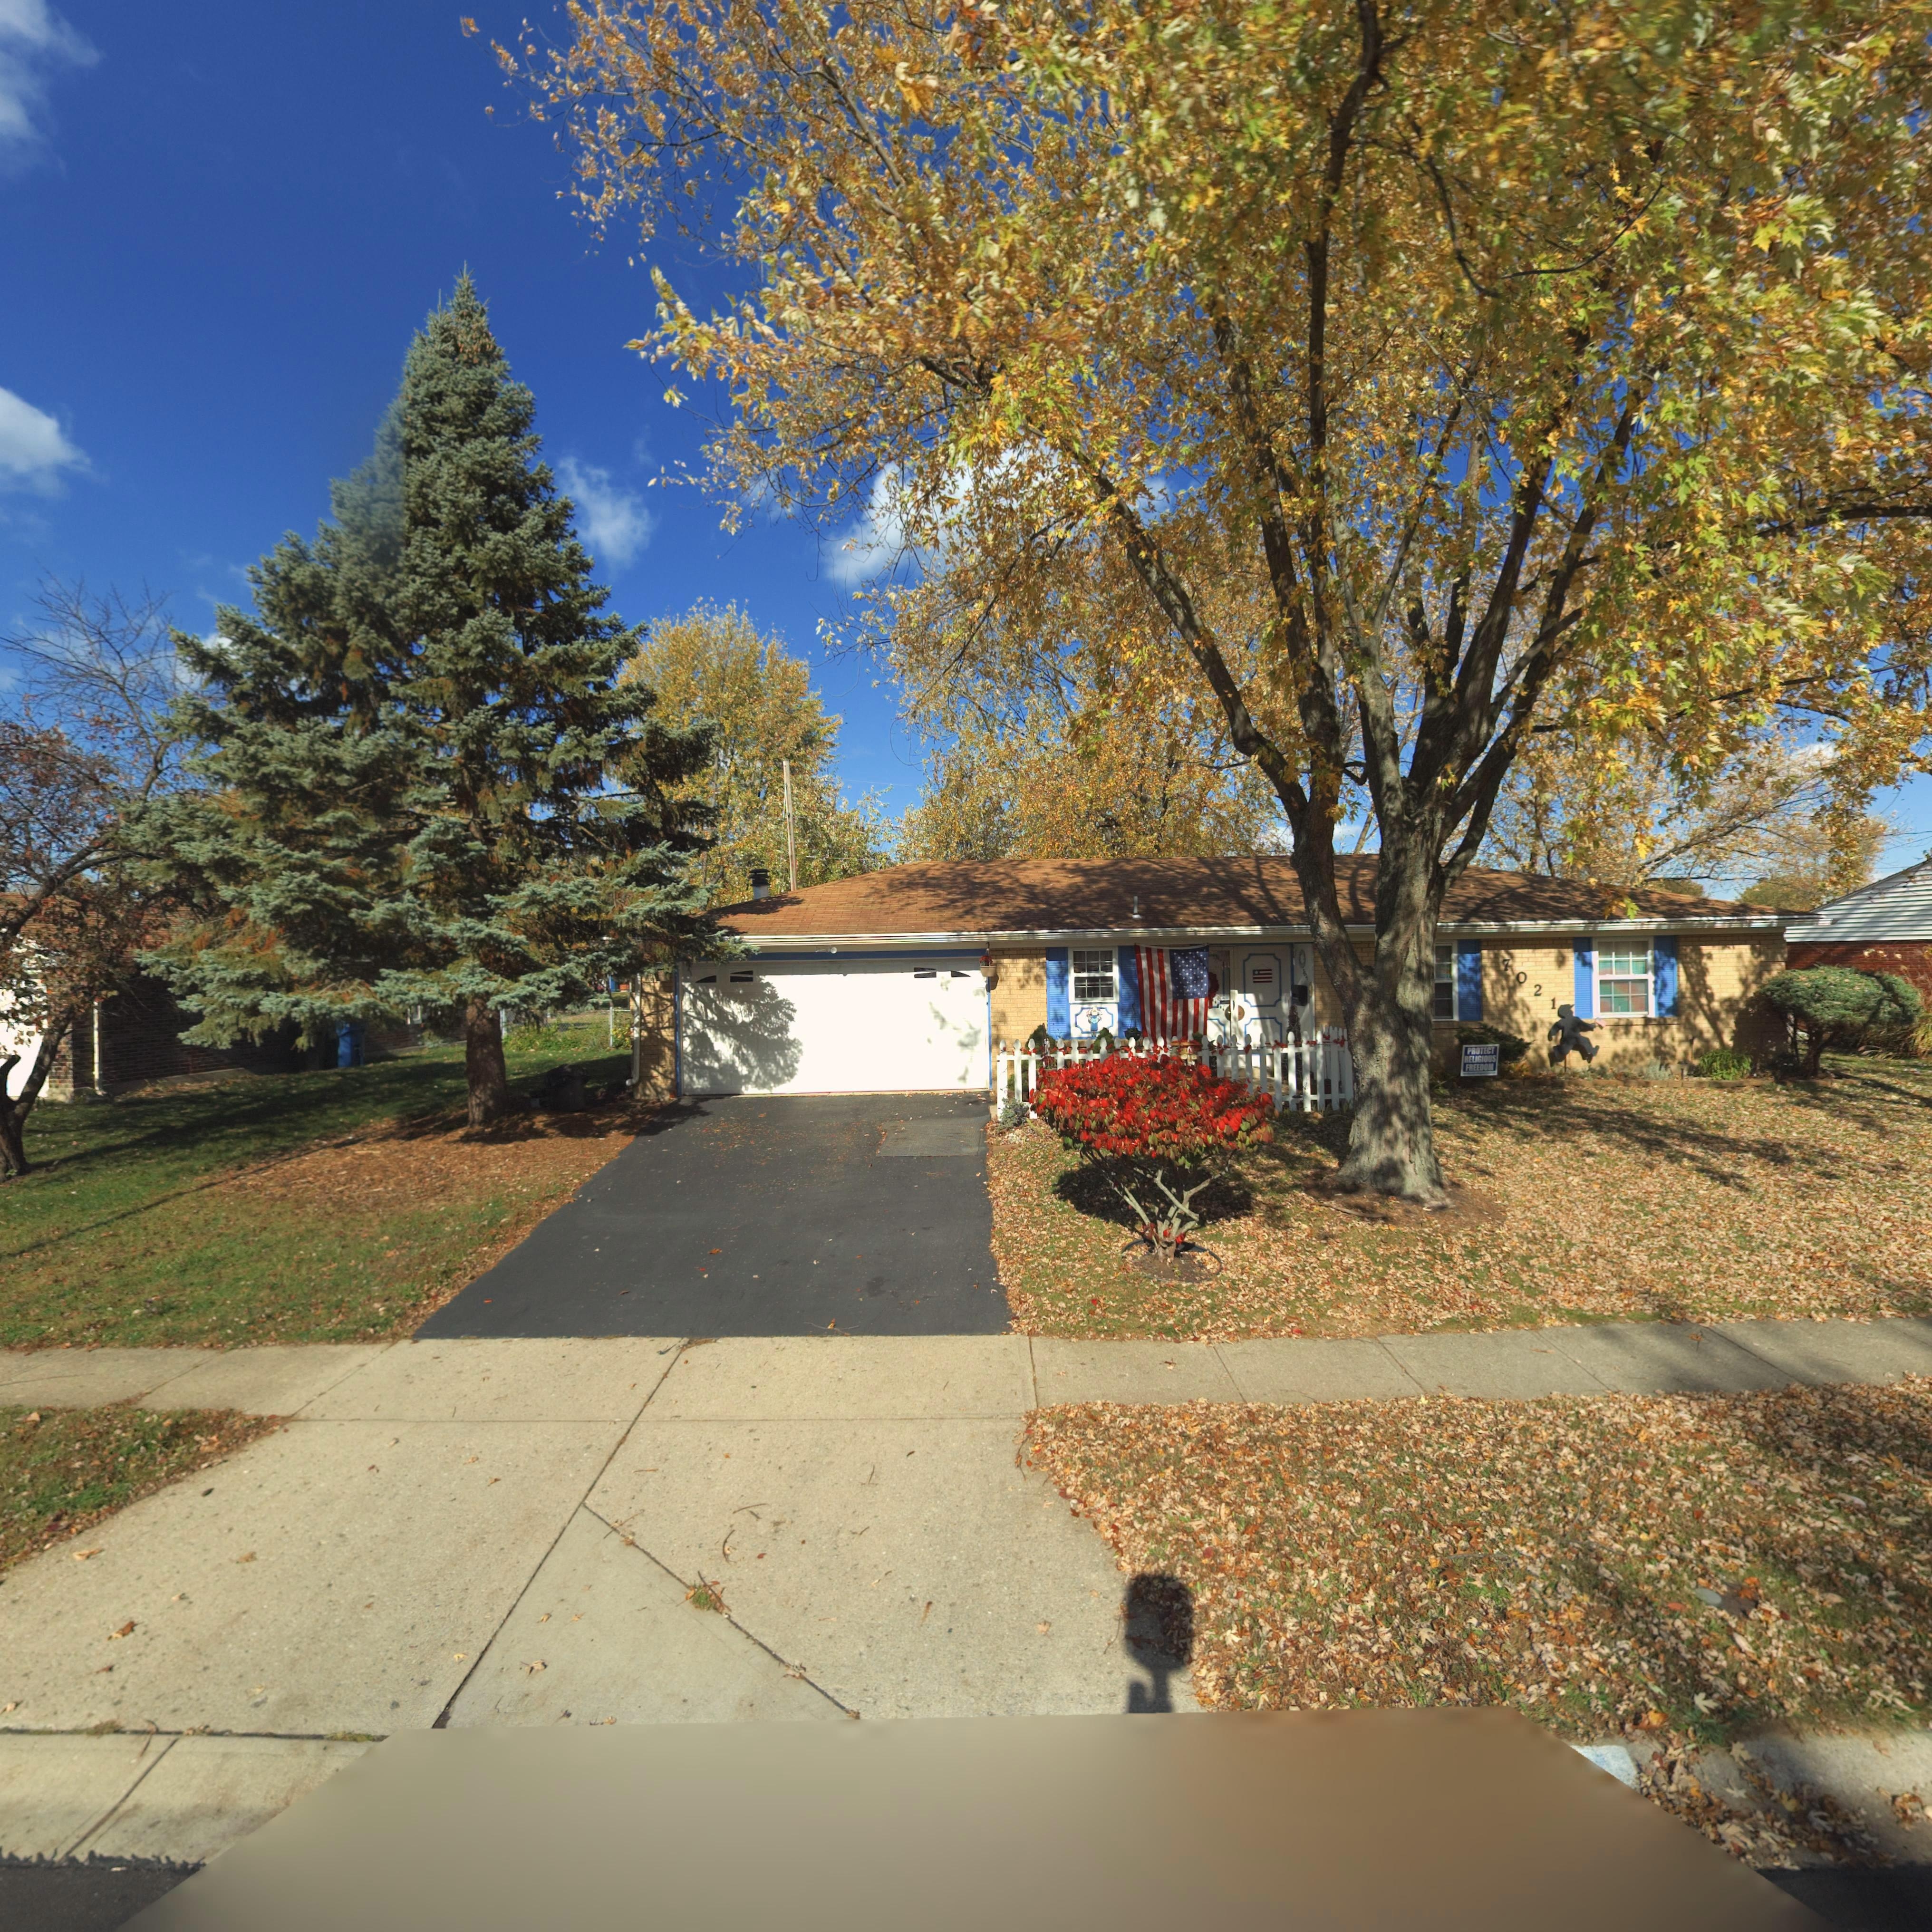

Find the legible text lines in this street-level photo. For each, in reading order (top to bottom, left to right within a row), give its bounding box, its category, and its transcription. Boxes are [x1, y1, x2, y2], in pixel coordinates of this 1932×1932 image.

[1501, 958, 1557, 1011] StreetNumber: 7021